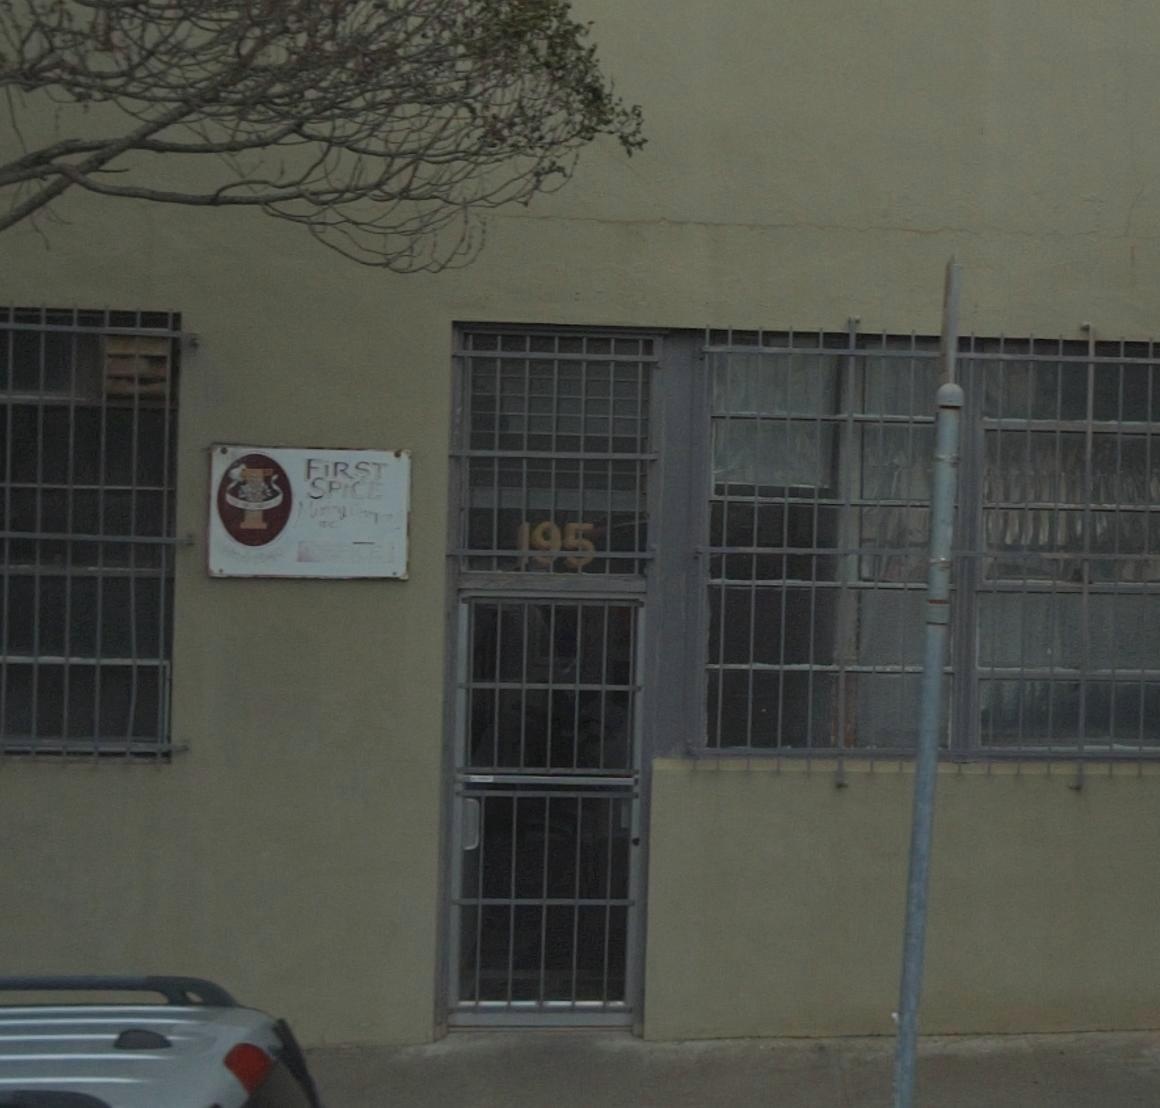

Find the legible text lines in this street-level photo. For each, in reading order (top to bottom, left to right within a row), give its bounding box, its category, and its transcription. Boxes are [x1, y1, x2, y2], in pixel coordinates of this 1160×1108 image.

[305, 457, 388, 480] BusinessName: FIRST
[307, 475, 385, 499] BusinessName: SPICE
[514, 519, 597, 568] StreetNumber: 195